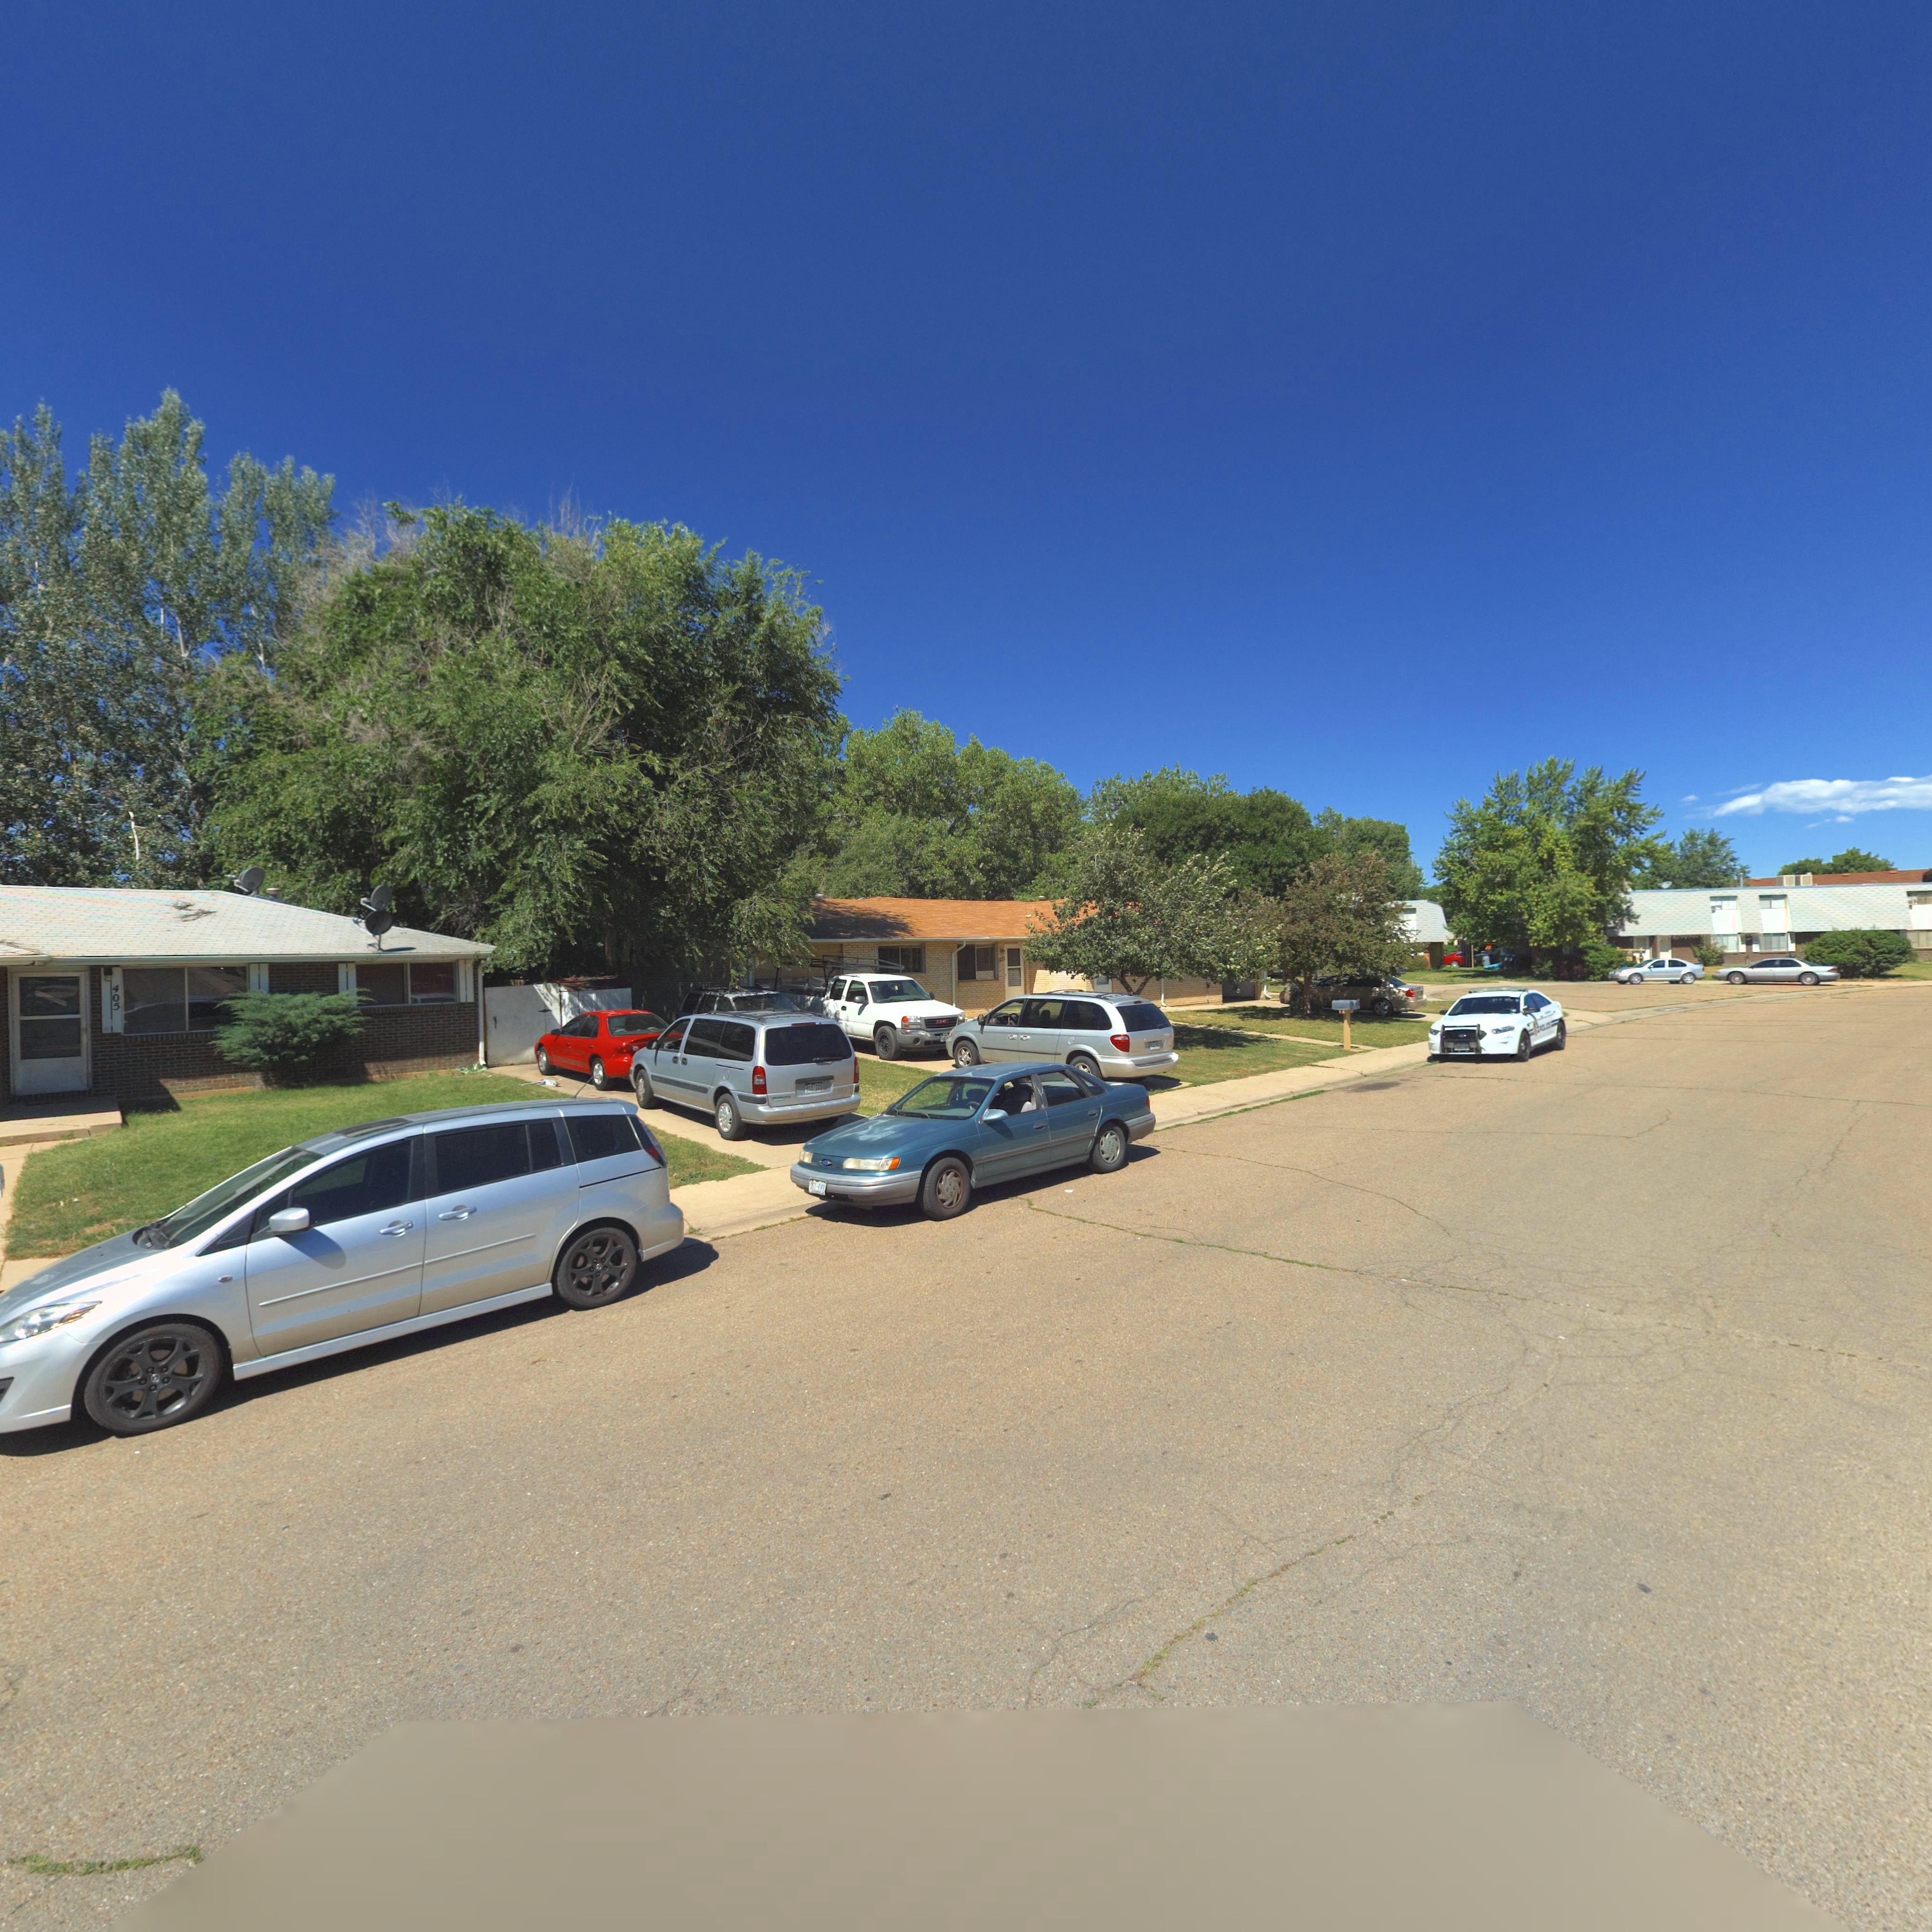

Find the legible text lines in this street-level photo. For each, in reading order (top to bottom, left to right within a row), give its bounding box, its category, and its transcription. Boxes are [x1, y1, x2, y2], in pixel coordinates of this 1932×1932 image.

[997, 956, 1005, 962] StreetNumber: 2**
[111, 983, 120, 1011] StreetNumber: 405